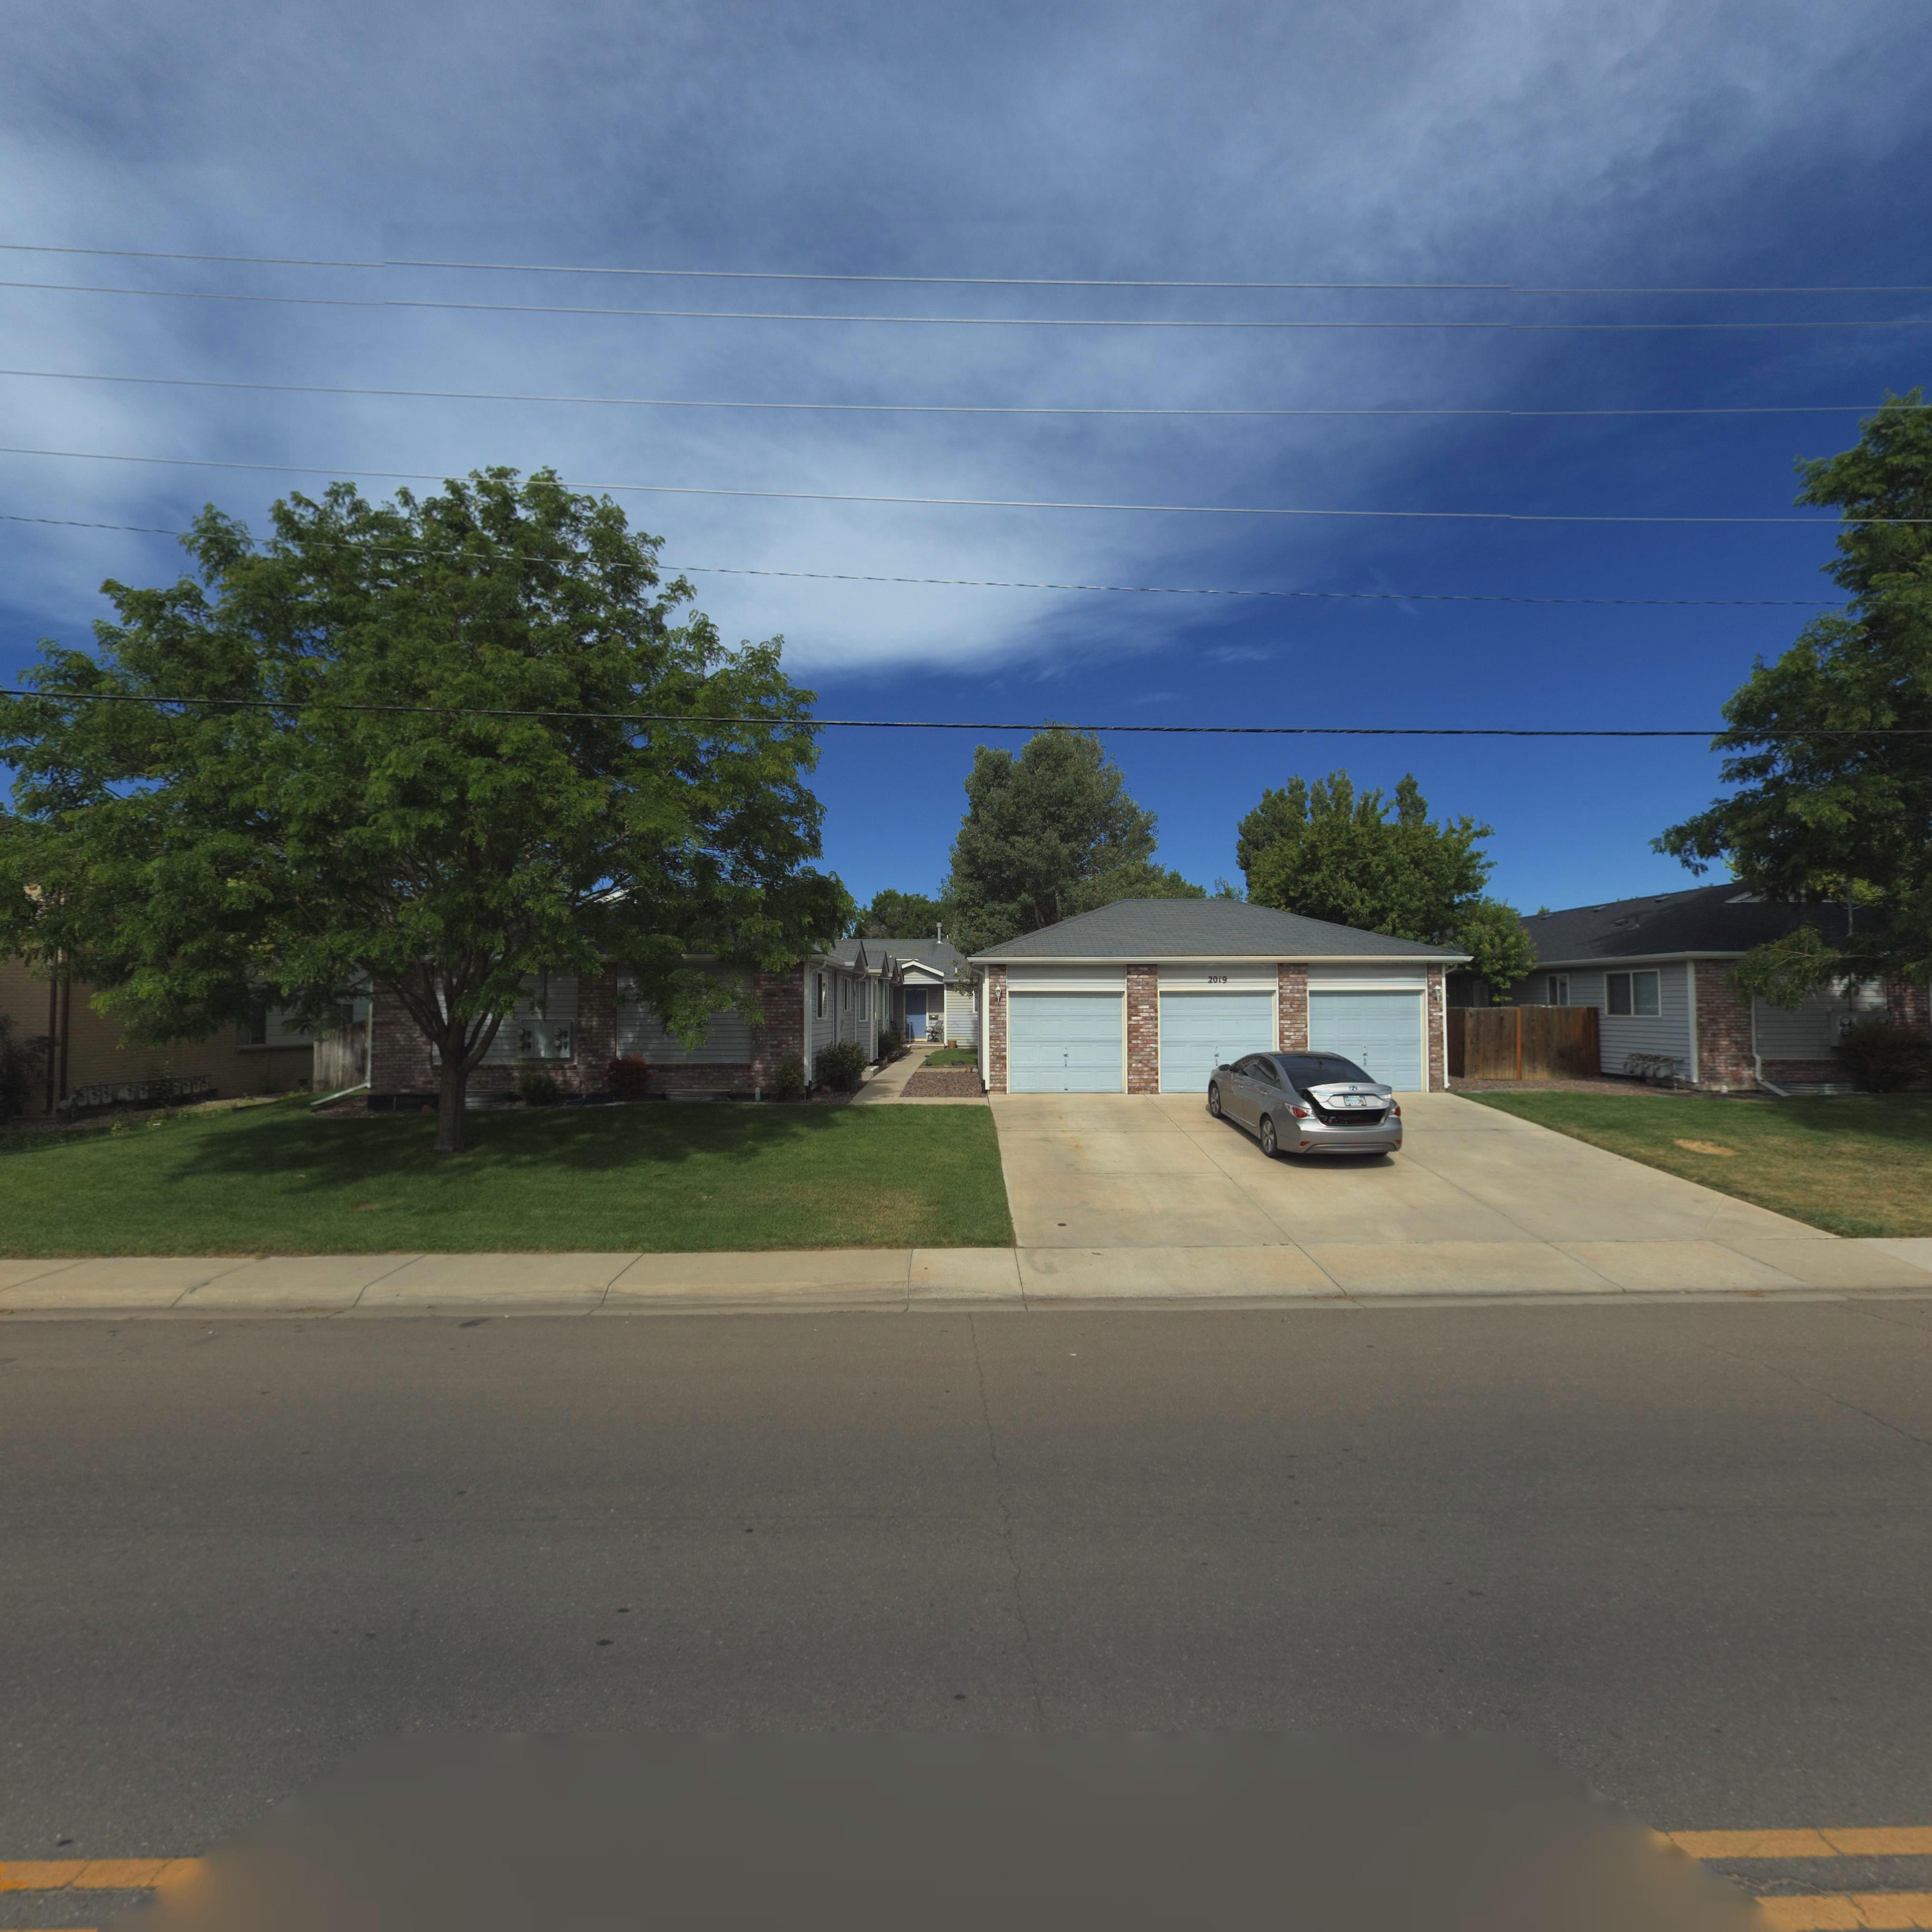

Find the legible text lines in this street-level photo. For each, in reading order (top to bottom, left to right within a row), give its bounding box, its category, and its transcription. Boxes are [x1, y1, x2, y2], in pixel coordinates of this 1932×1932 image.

[1207, 976, 1227, 984] StreetNumber: 2019